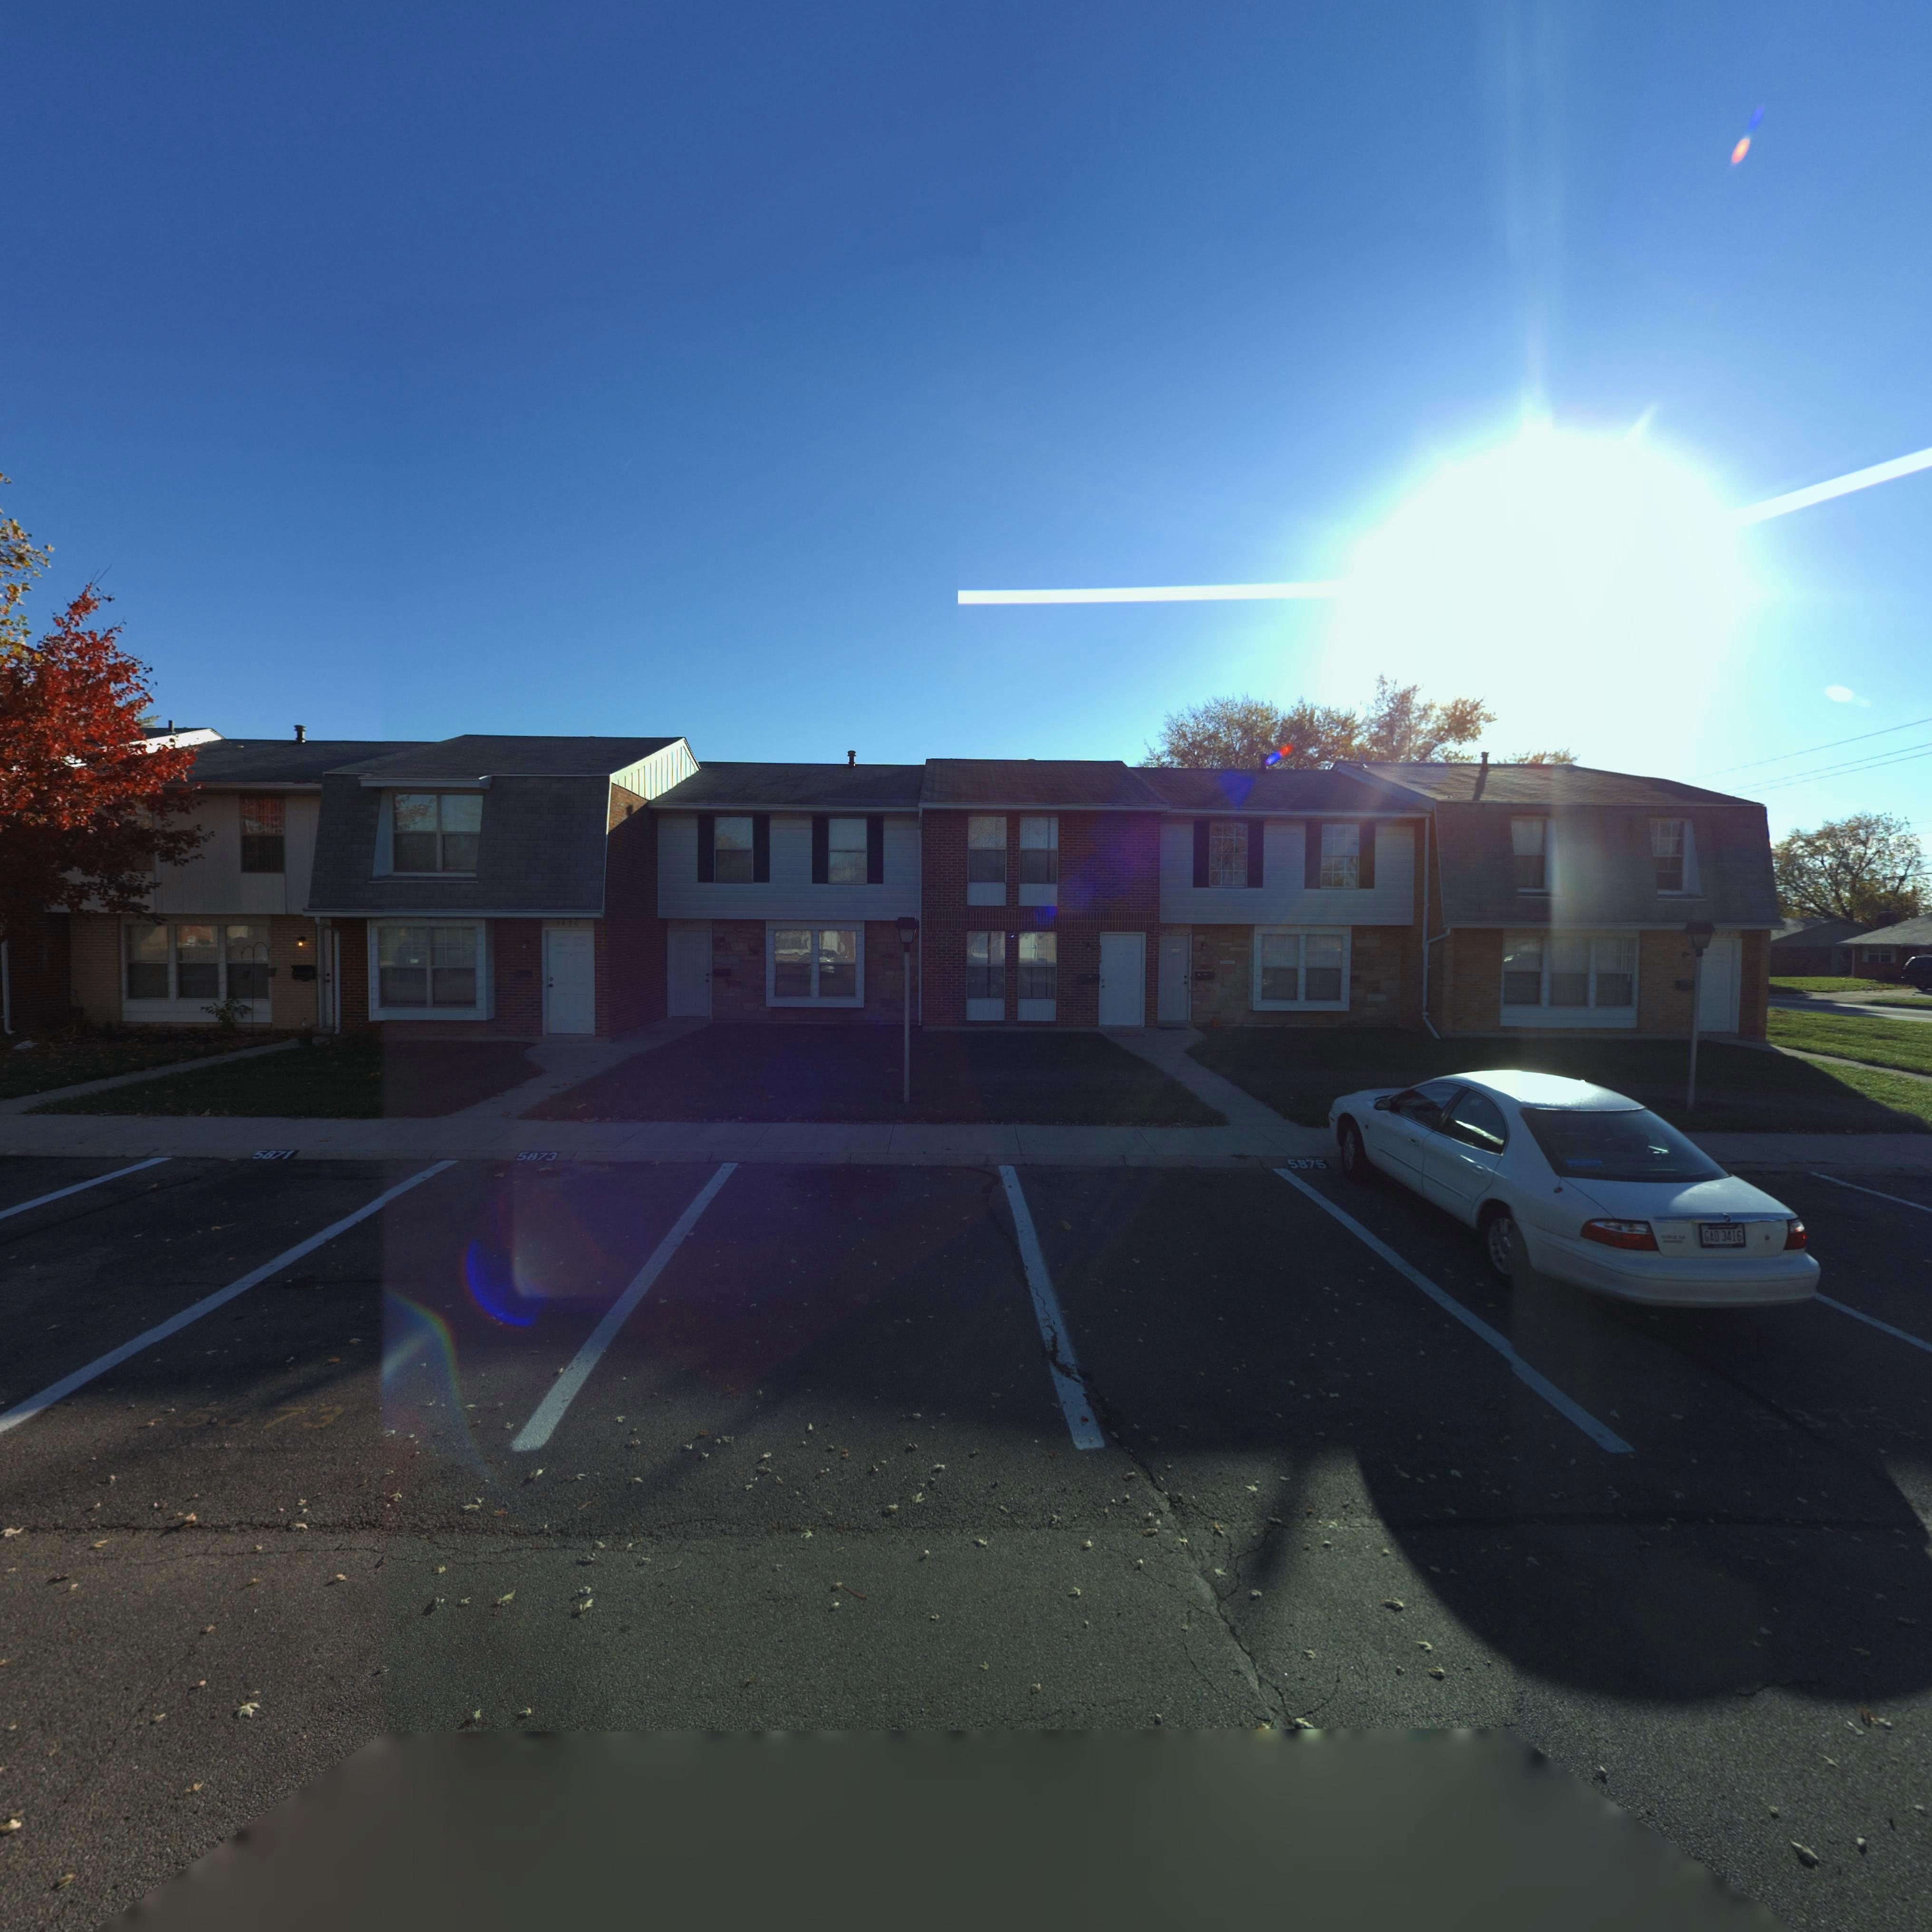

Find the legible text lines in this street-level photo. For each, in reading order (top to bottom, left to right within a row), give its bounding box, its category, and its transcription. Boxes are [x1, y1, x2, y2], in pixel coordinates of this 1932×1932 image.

[555, 919, 579, 927] StreetNumber: 5871
[1159, 925, 1175, 932] StreetNumber: ***7
[1097, 945, 1102, 966] StreetNumber: **7*
[251, 1149, 296, 1160] StreetNumber: 5871
[514, 1150, 560, 1162] StreetNumber: 5873
[1286, 1159, 1328, 1170] StreetNumber: 5875
[171, 1402, 349, 1432] StreetNumber: 5*73